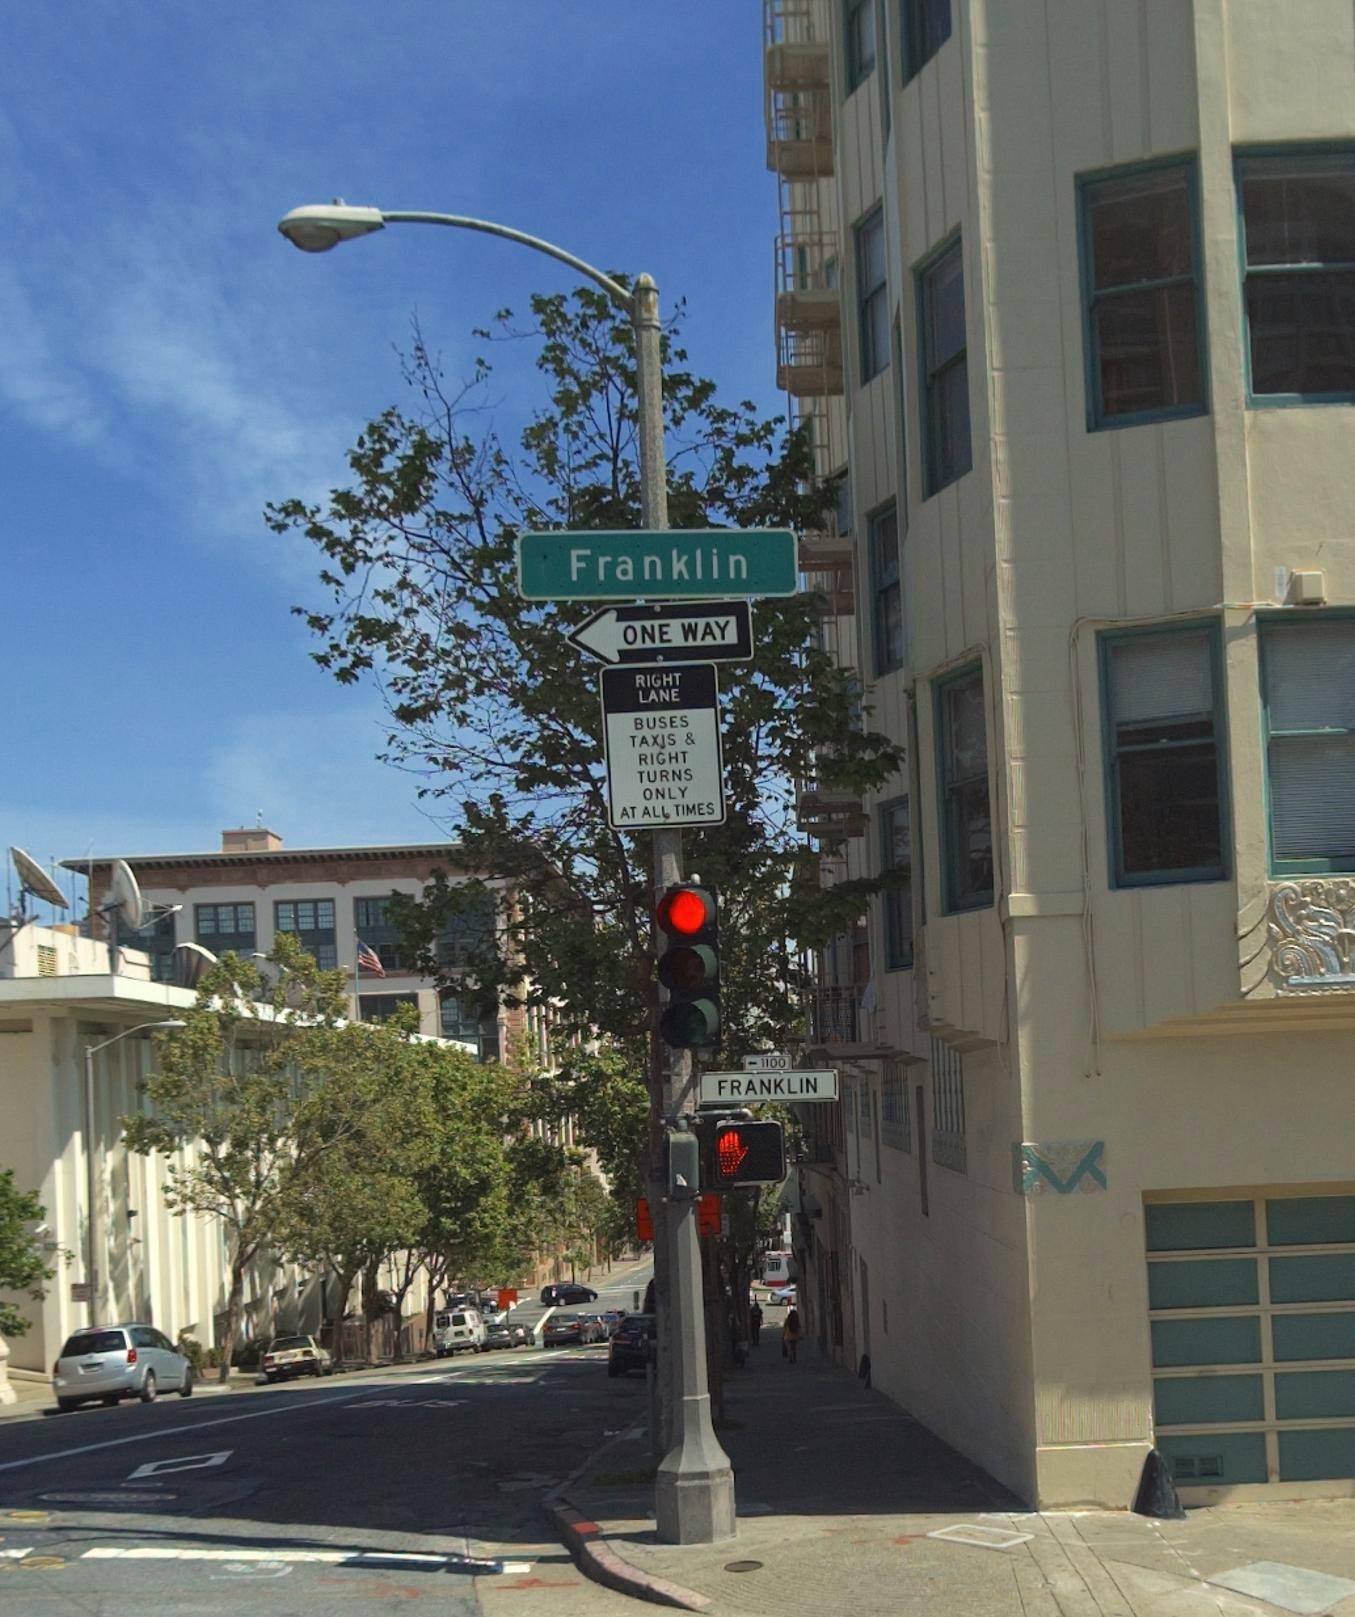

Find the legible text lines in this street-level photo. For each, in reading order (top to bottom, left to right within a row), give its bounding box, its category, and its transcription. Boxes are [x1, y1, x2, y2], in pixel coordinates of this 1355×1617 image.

[568, 546, 749, 583] StreetName: Franklin
[622, 617, 734, 646] None: ONE WAY
[634, 670, 682, 689] None: RIGHT
[637, 687, 680, 704] None: LANE
[632, 712, 689, 732] None: BUSES
[626, 730, 697, 749] None: TAXIS &
[636, 749, 691, 768] None: RIGHT
[634, 767, 695, 785] None: TURNS
[642, 785, 691, 801] None: ONLY
[619, 801, 717, 821] None: AT ALL TIMES
[745, 1054, 789, 1070] StreetNumber: <-1100
[716, 1074, 820, 1098] StreetName: FRANKLIN